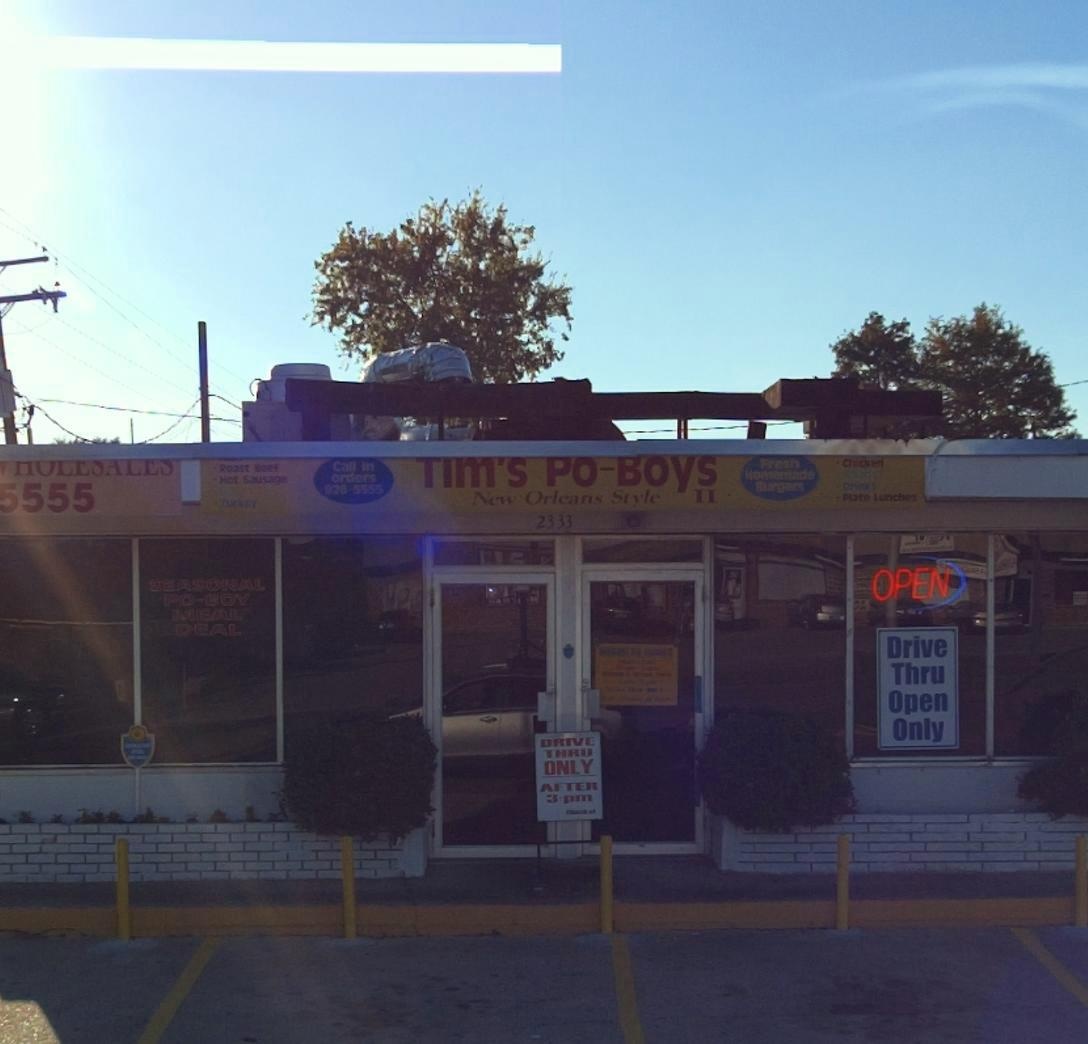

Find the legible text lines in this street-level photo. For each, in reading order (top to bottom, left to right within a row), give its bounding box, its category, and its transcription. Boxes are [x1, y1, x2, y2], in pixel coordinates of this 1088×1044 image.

[19, 480, 96, 515] None: 555
[219, 497, 259, 510] None: Turkey
[218, 461, 281, 474] None: Roast Beef
[218, 473, 290, 486] None: Hot Sausage
[323, 482, 384, 496] None: 92*-5555
[332, 459, 376, 474] None: Call in
[330, 471, 378, 484] None: orders
[470, 488, 662, 508] None: New Orleans Style
[414, 455, 719, 496] BusinessName: TIm'S PO-BOyS
[693, 485, 722, 506] None: II
[759, 456, 801, 470] None: Fresh
[743, 467, 817, 482] None: Homemade
[754, 480, 807, 494] None: Bugers
[842, 481, 877, 491] None: Drinks
[841, 456, 885, 469] None: Chicken
[842, 491, 918, 502] None: Plate Lunches
[536, 513, 574, 530] StreetNumber: 2333
[147, 576, 269, 593] None: SEASONAL
[870, 566, 952, 603] None: OPEN
[162, 591, 253, 608] None: PO-BOY
[171, 606, 246, 623] None: MEAL
[174, 621, 245, 638] None: DEAL
[886, 634, 950, 660] None: Drive
[889, 662, 947, 686] None: Thru
[887, 688, 950, 716] None: Open
[892, 717, 946, 744] None: Only
[539, 736, 598, 749] None: DRIVE
[541, 746, 594, 759] None: THRU
[542, 757, 596, 777] None: ONLY
[537, 781, 600, 793] None: AFTER
[544, 793, 595, 805] None: 3*pm